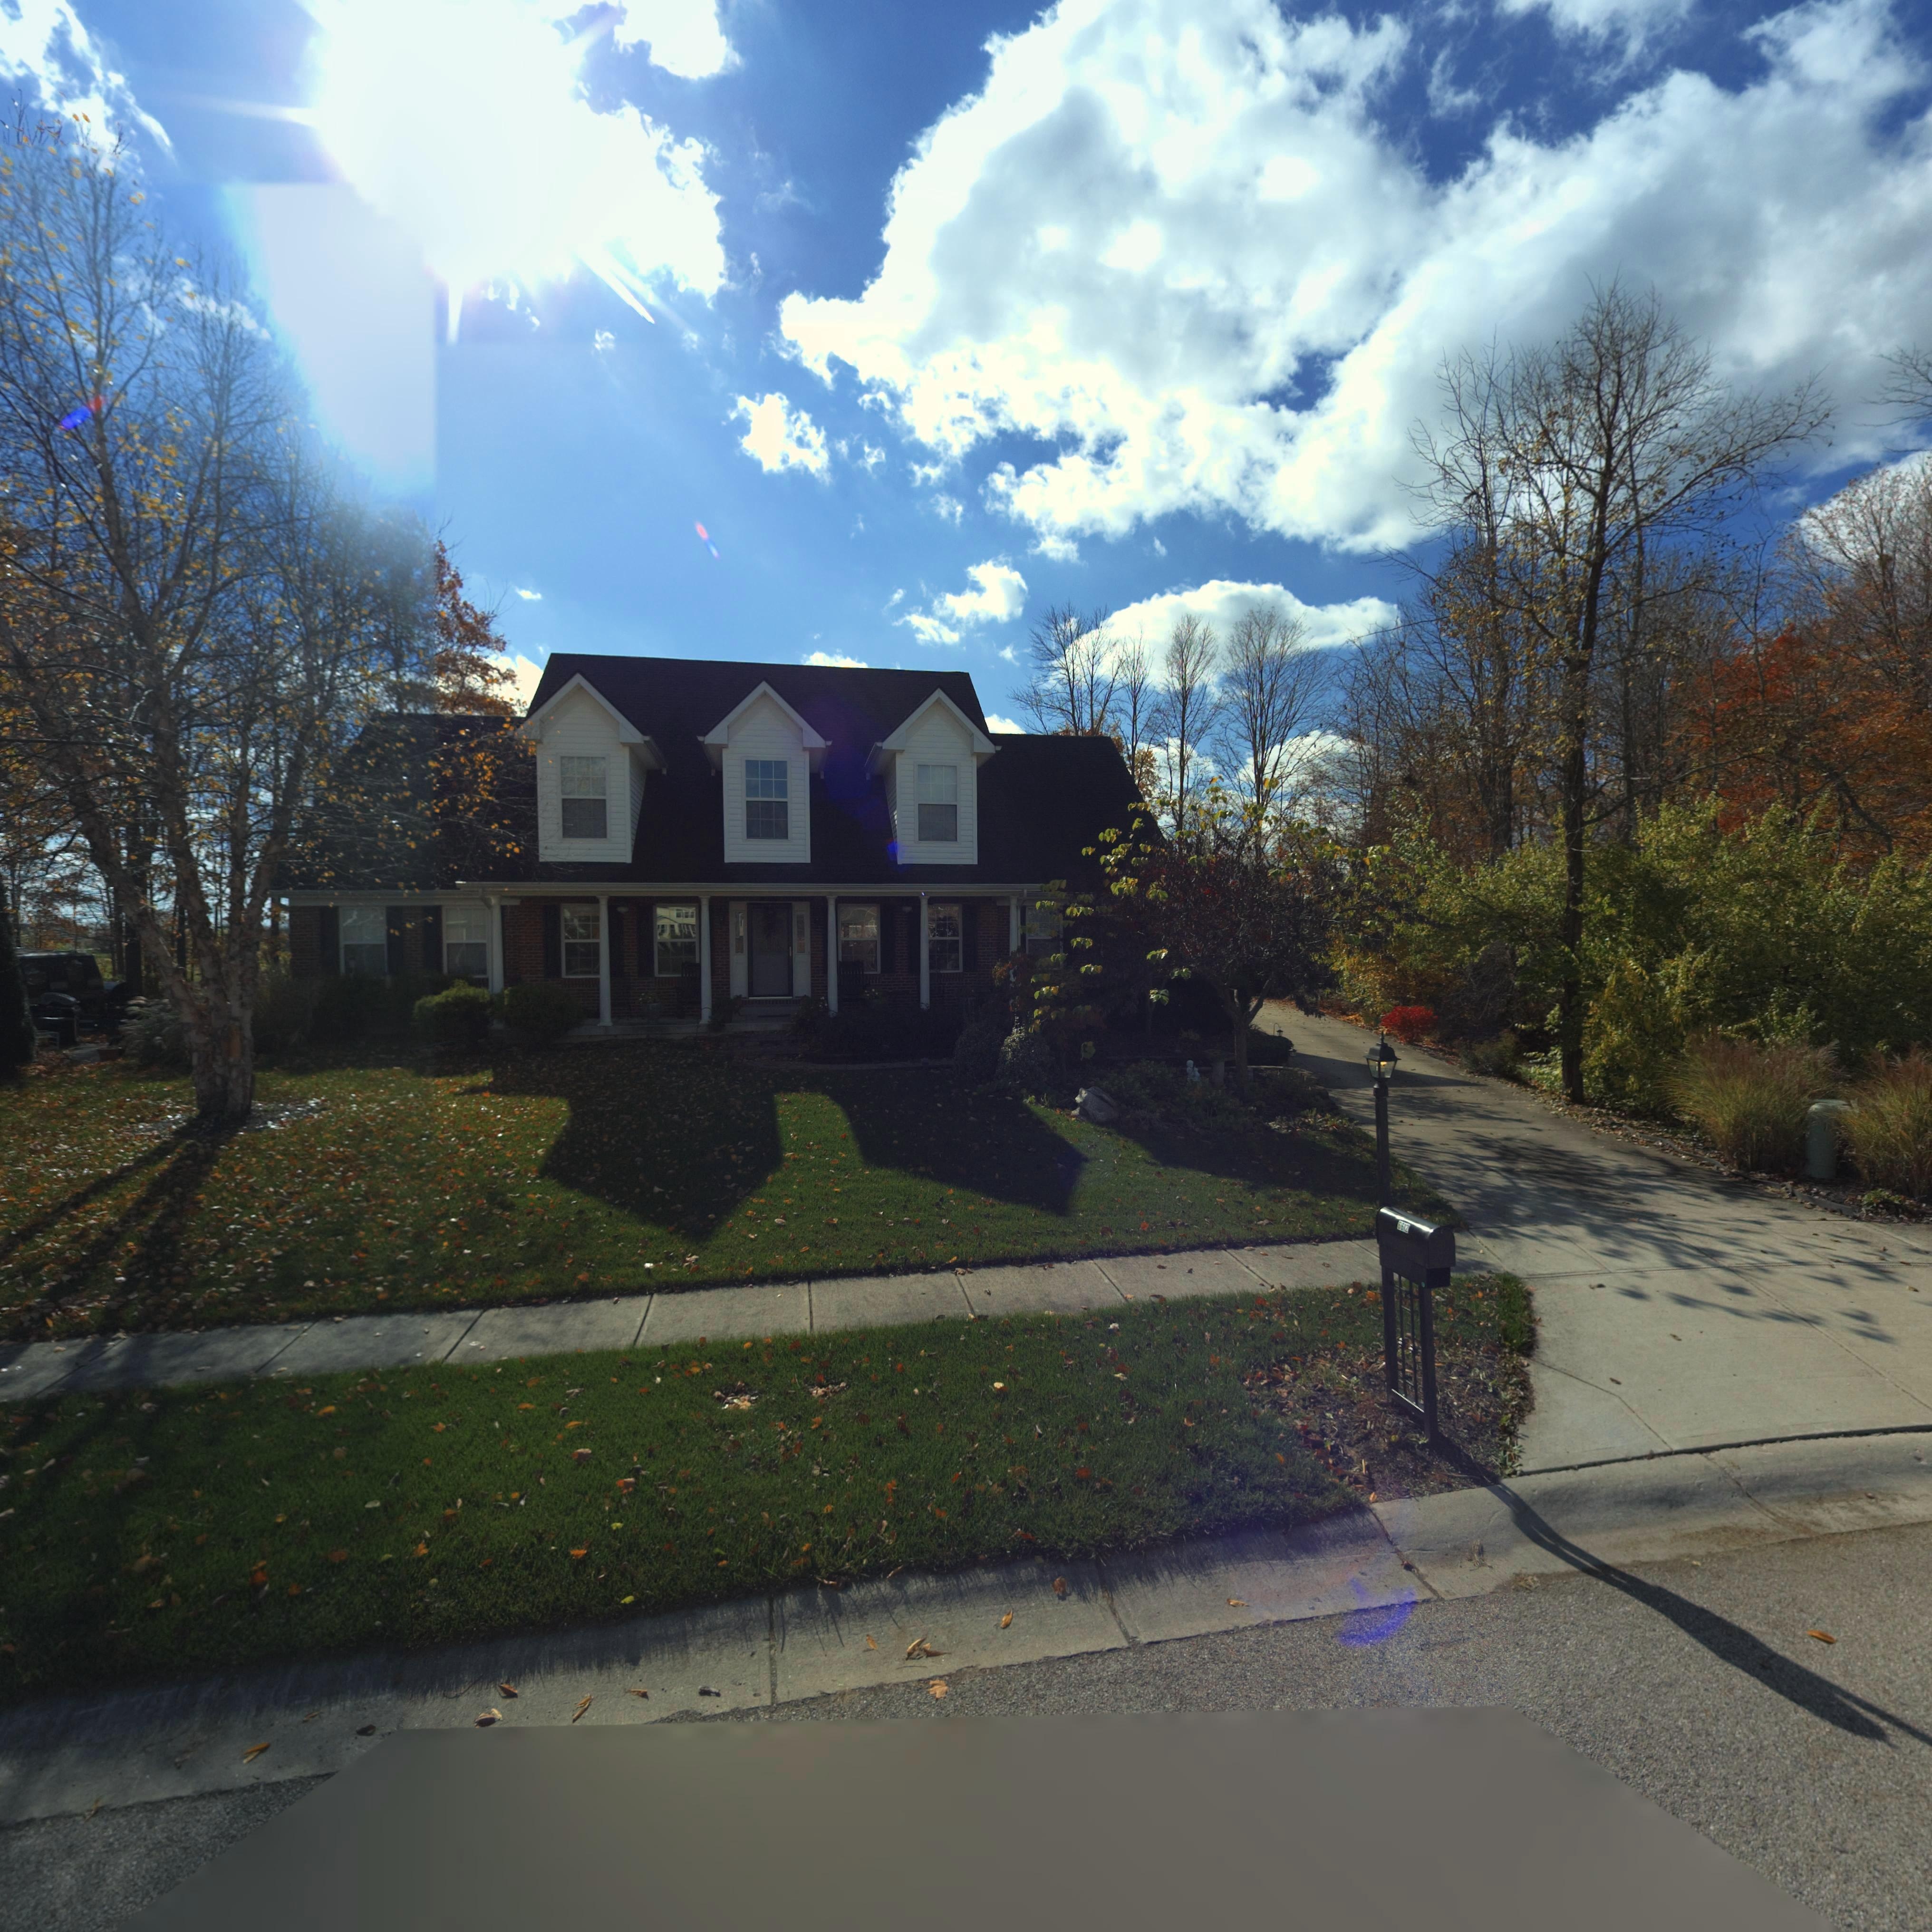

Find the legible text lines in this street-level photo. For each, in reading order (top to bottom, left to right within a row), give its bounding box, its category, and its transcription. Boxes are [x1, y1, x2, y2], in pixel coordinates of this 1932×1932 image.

[1396, 1220, 1410, 1234] StreetNumber: 6612